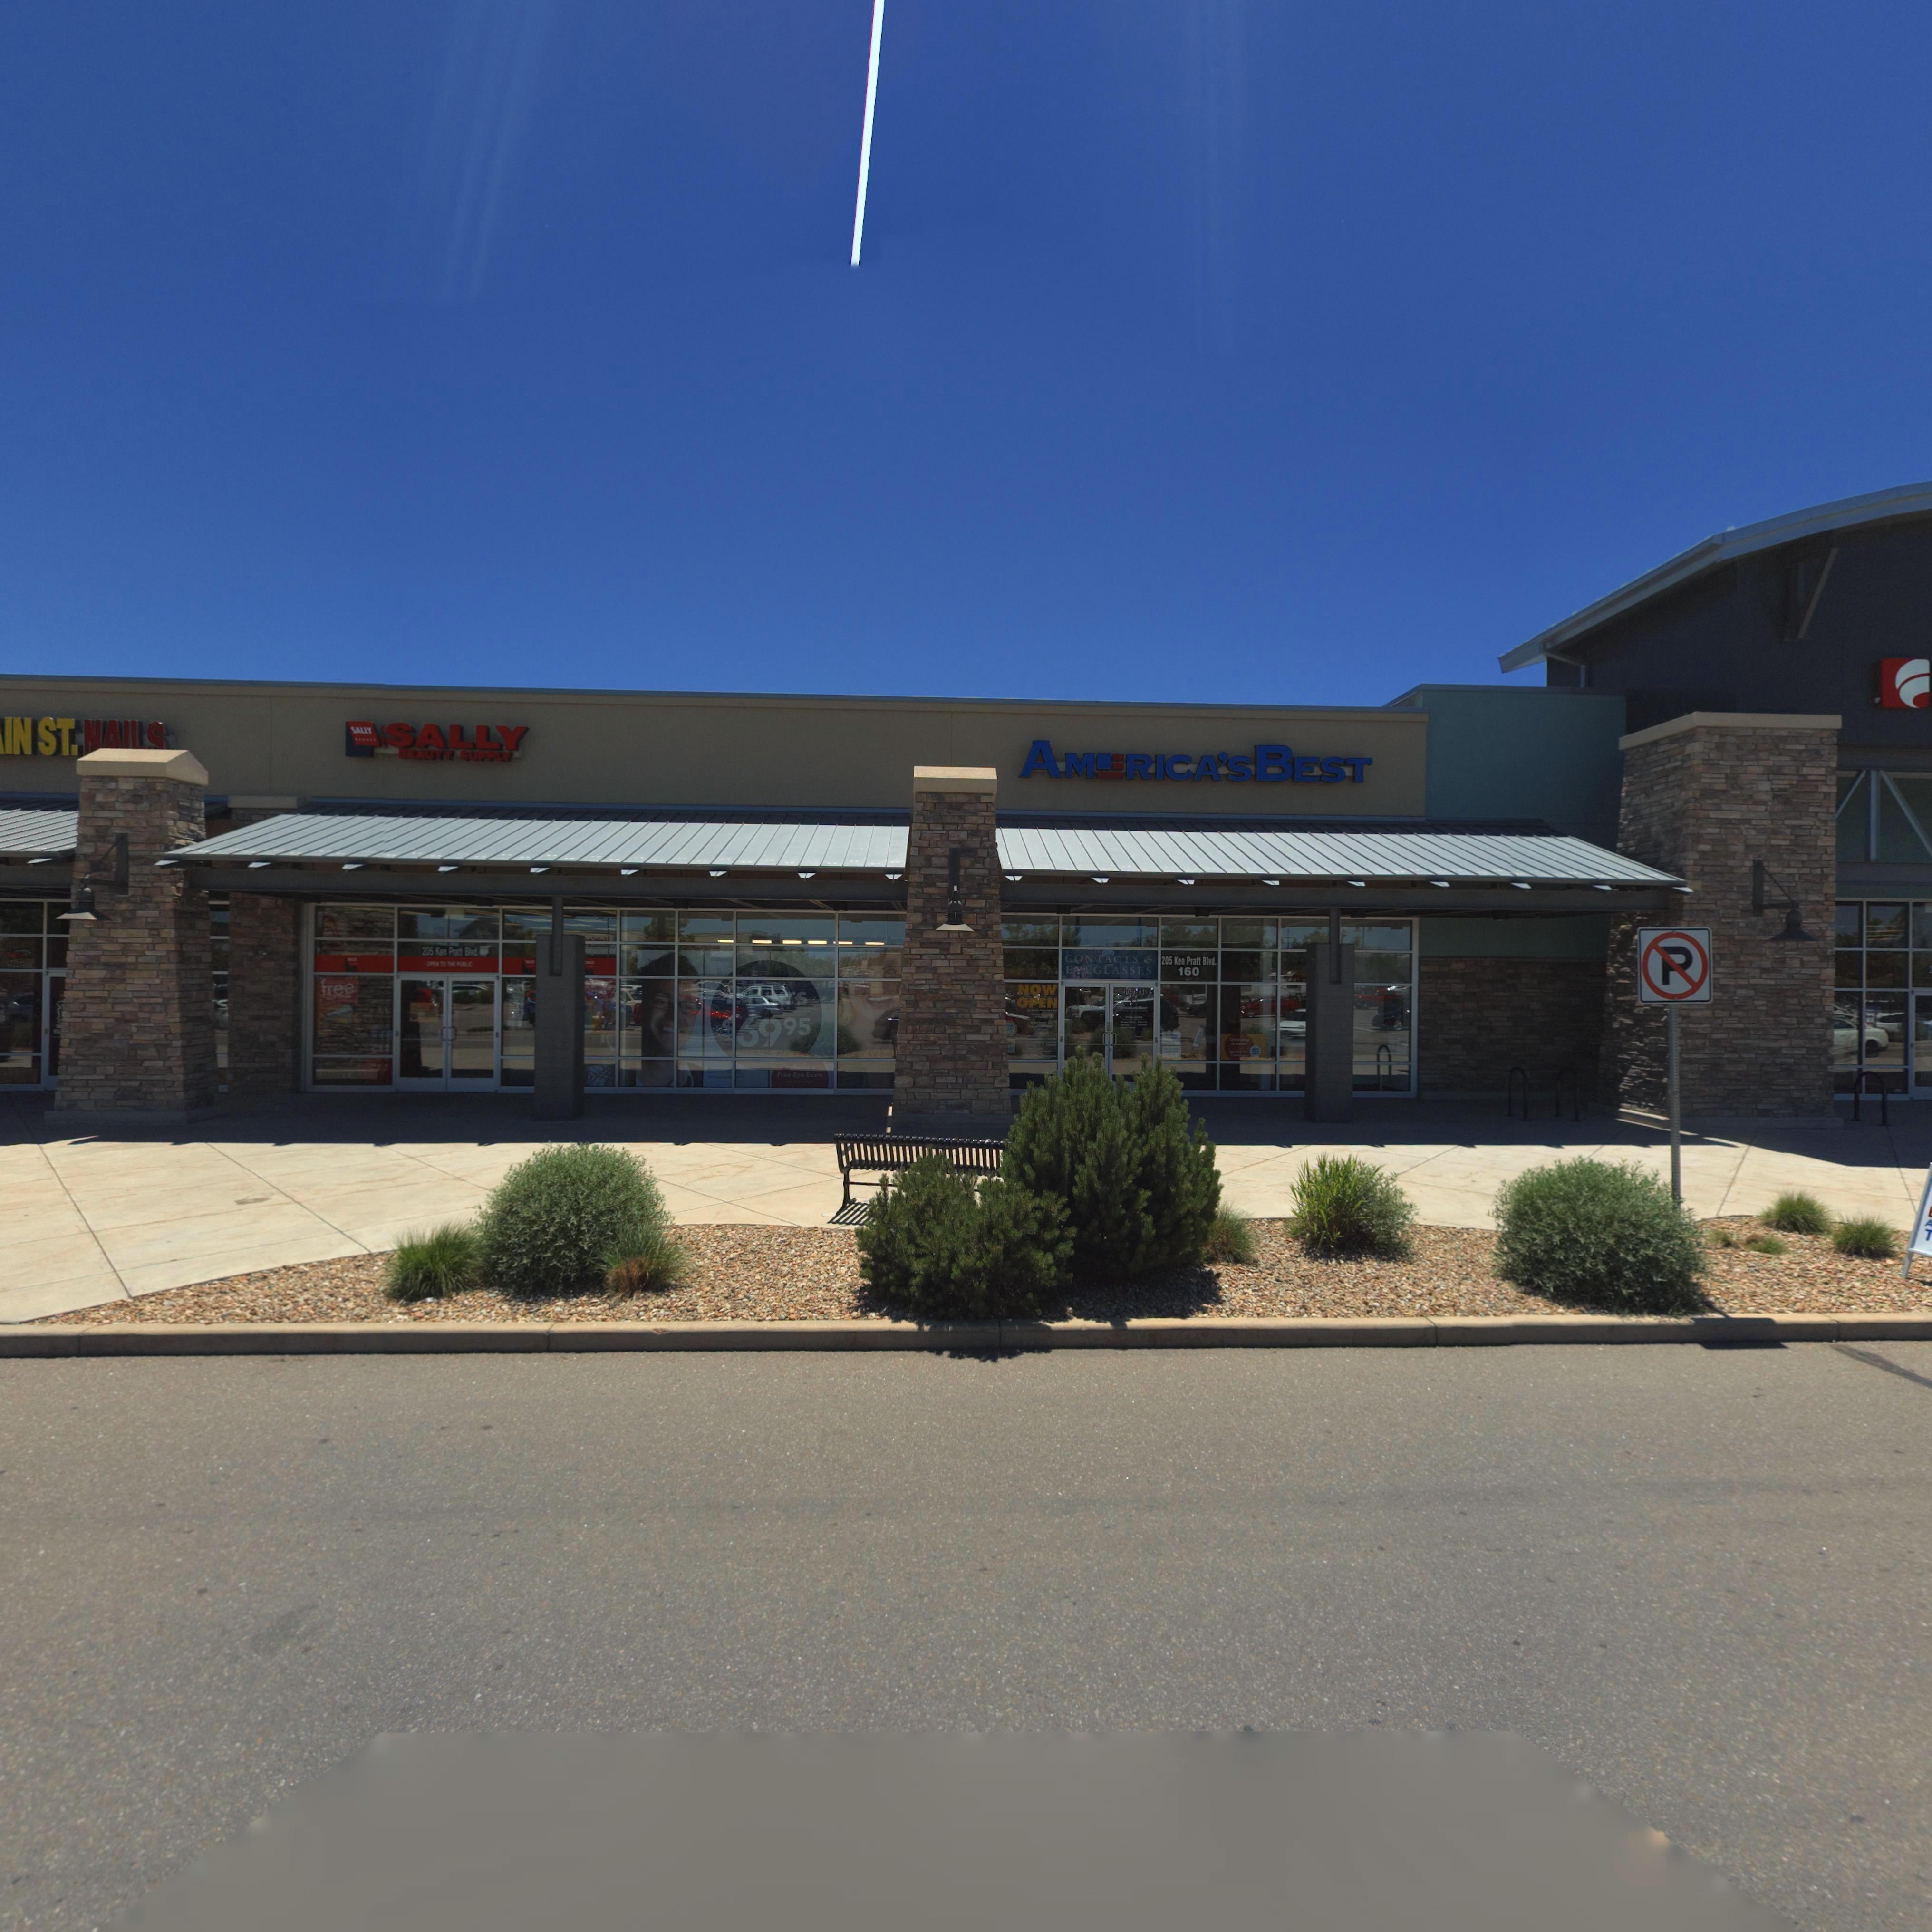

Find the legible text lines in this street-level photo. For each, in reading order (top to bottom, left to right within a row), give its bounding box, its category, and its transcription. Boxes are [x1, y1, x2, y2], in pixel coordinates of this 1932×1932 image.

[1, 716, 167, 756] BusinessName: IN ST. NAILS
[350, 726, 372, 734] BusinessName: SALLY
[385, 720, 531, 751] BusinessName: SALLY
[397, 748, 513, 761] BusinessName: BEAUTY SUPPLY
[1016, 736, 1377, 784] BusinessName: AM*RICA'S BEST
[421, 945, 480, 956] StreetName: 205 Ken Pratt Blvd.
[1161, 955, 1217, 966] StreetName: 205 Ken Pratt Blvd.
[1178, 966, 1200, 976] StreetNumber: 160